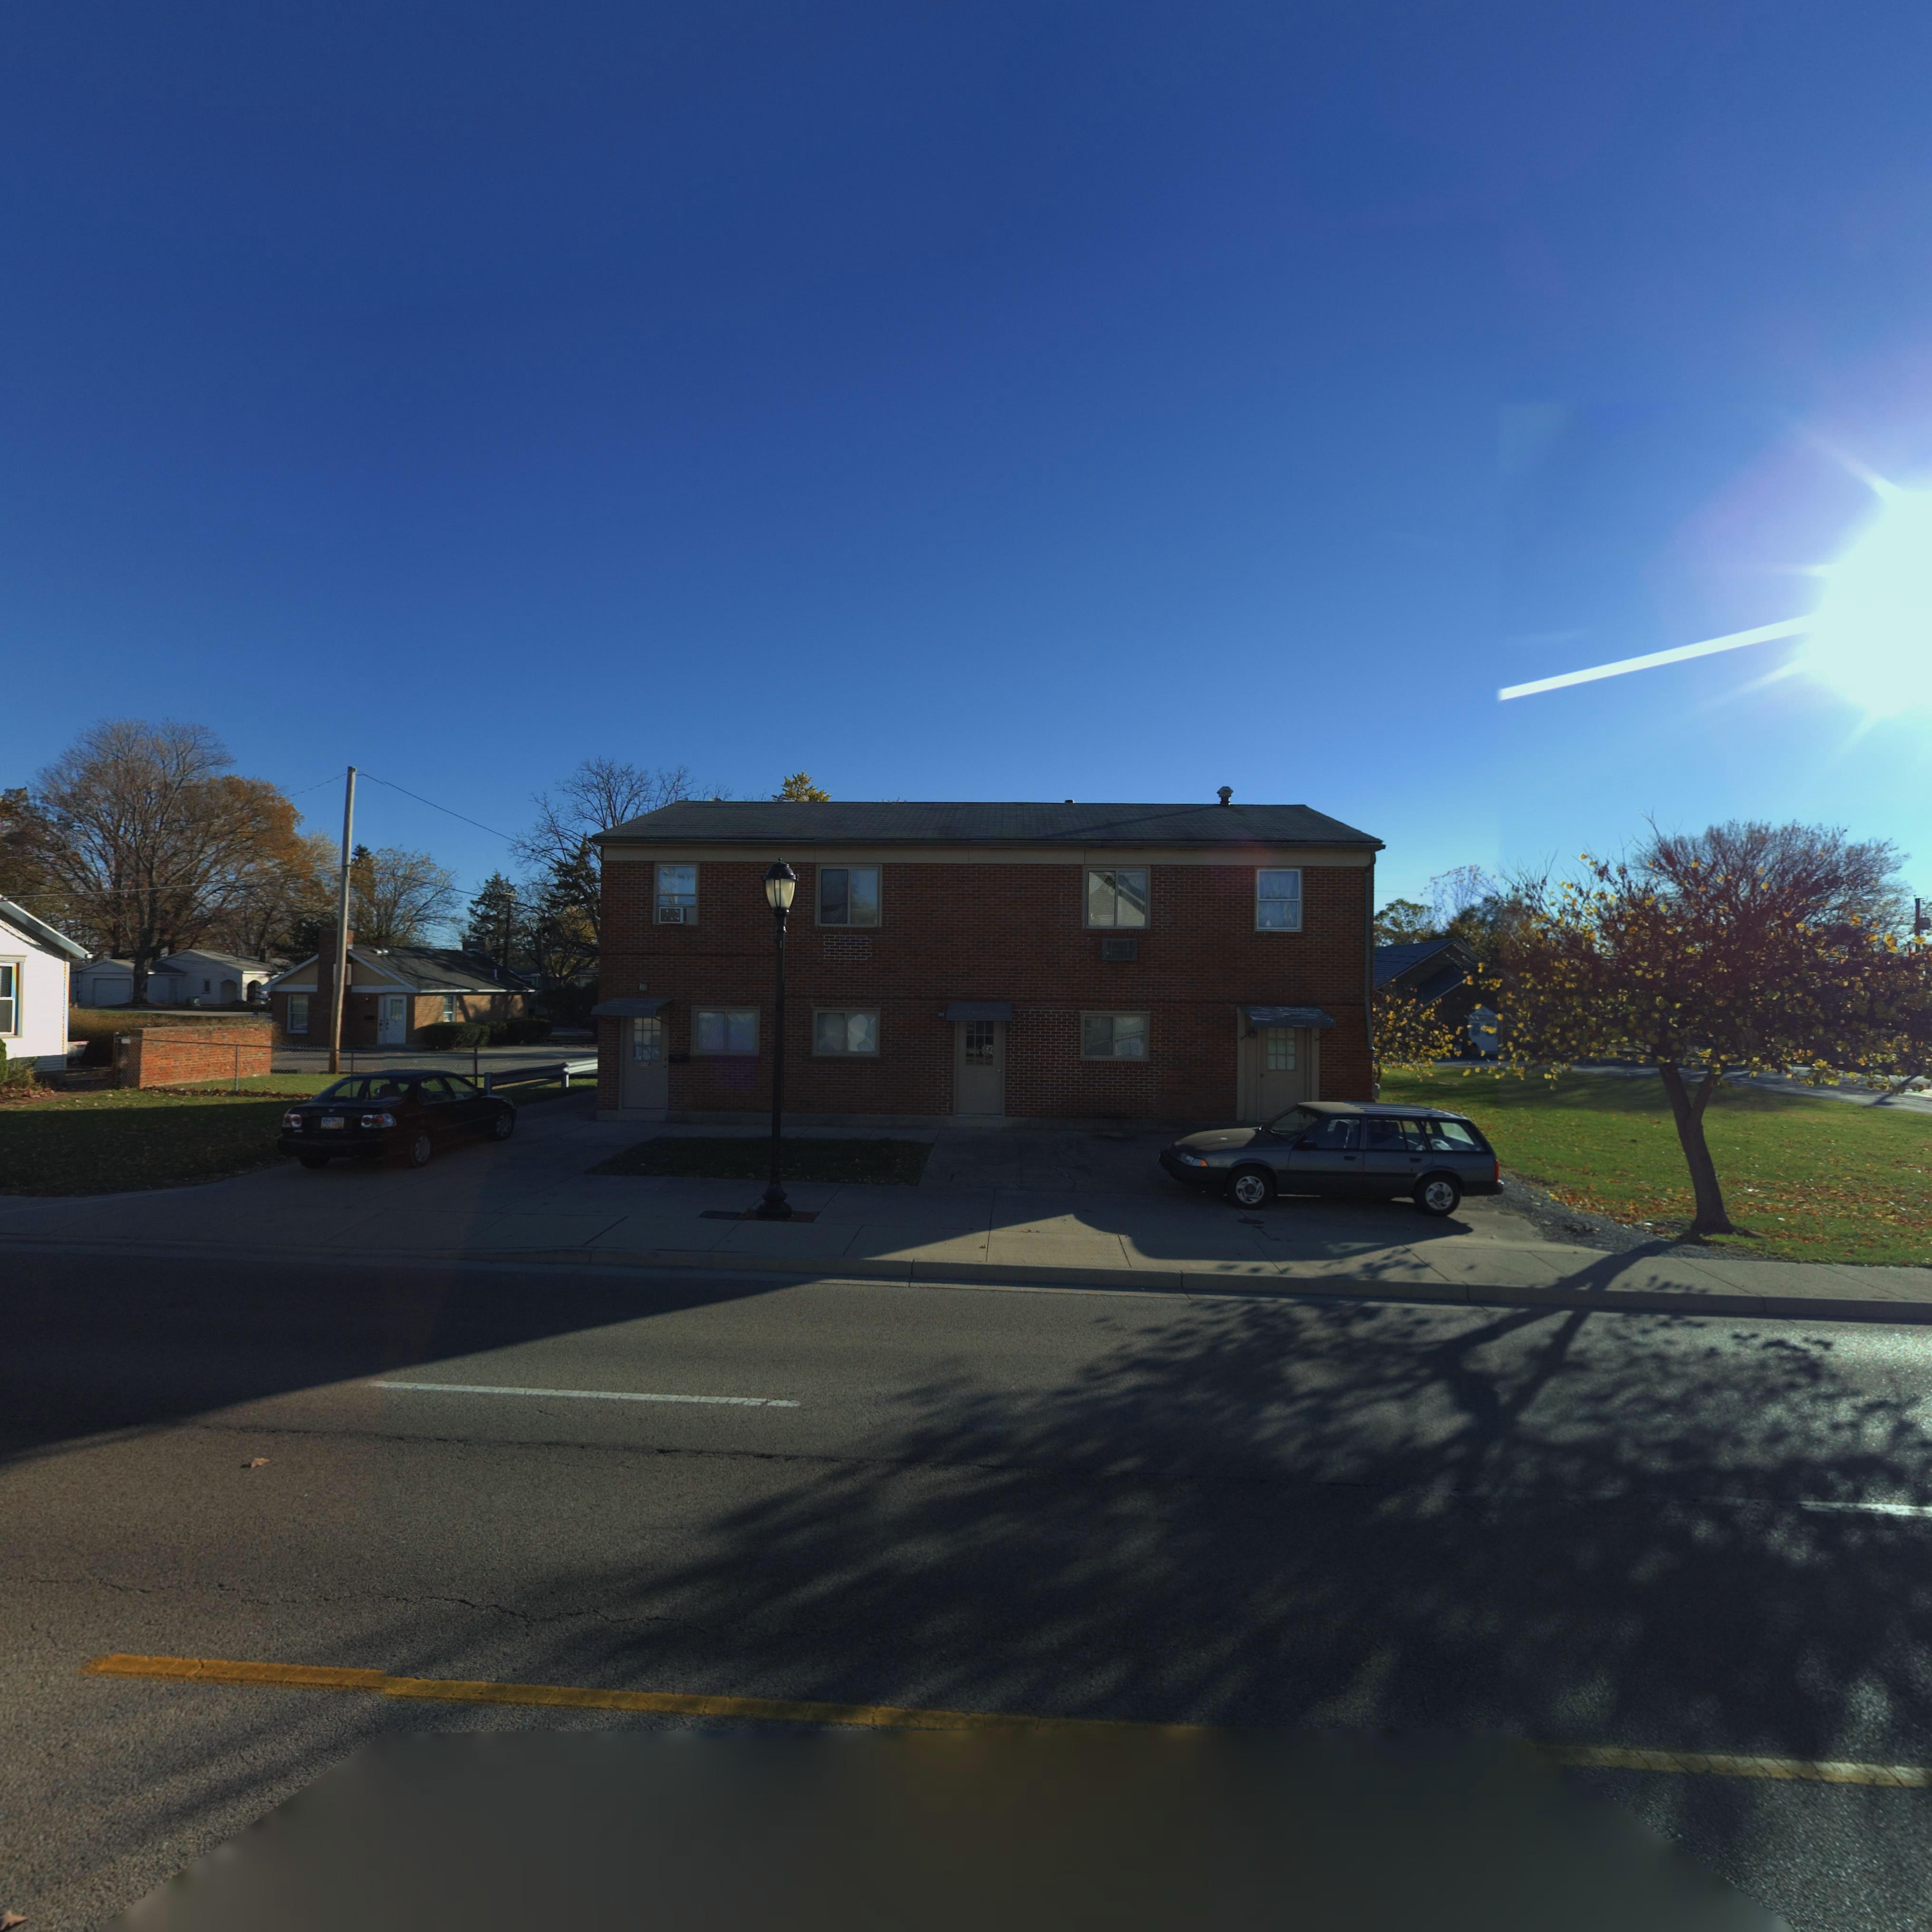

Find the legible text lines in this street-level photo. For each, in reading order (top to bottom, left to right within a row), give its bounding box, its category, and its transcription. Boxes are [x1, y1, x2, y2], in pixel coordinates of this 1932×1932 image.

[640, 1061, 653, 1067] StreetNumber: 11*